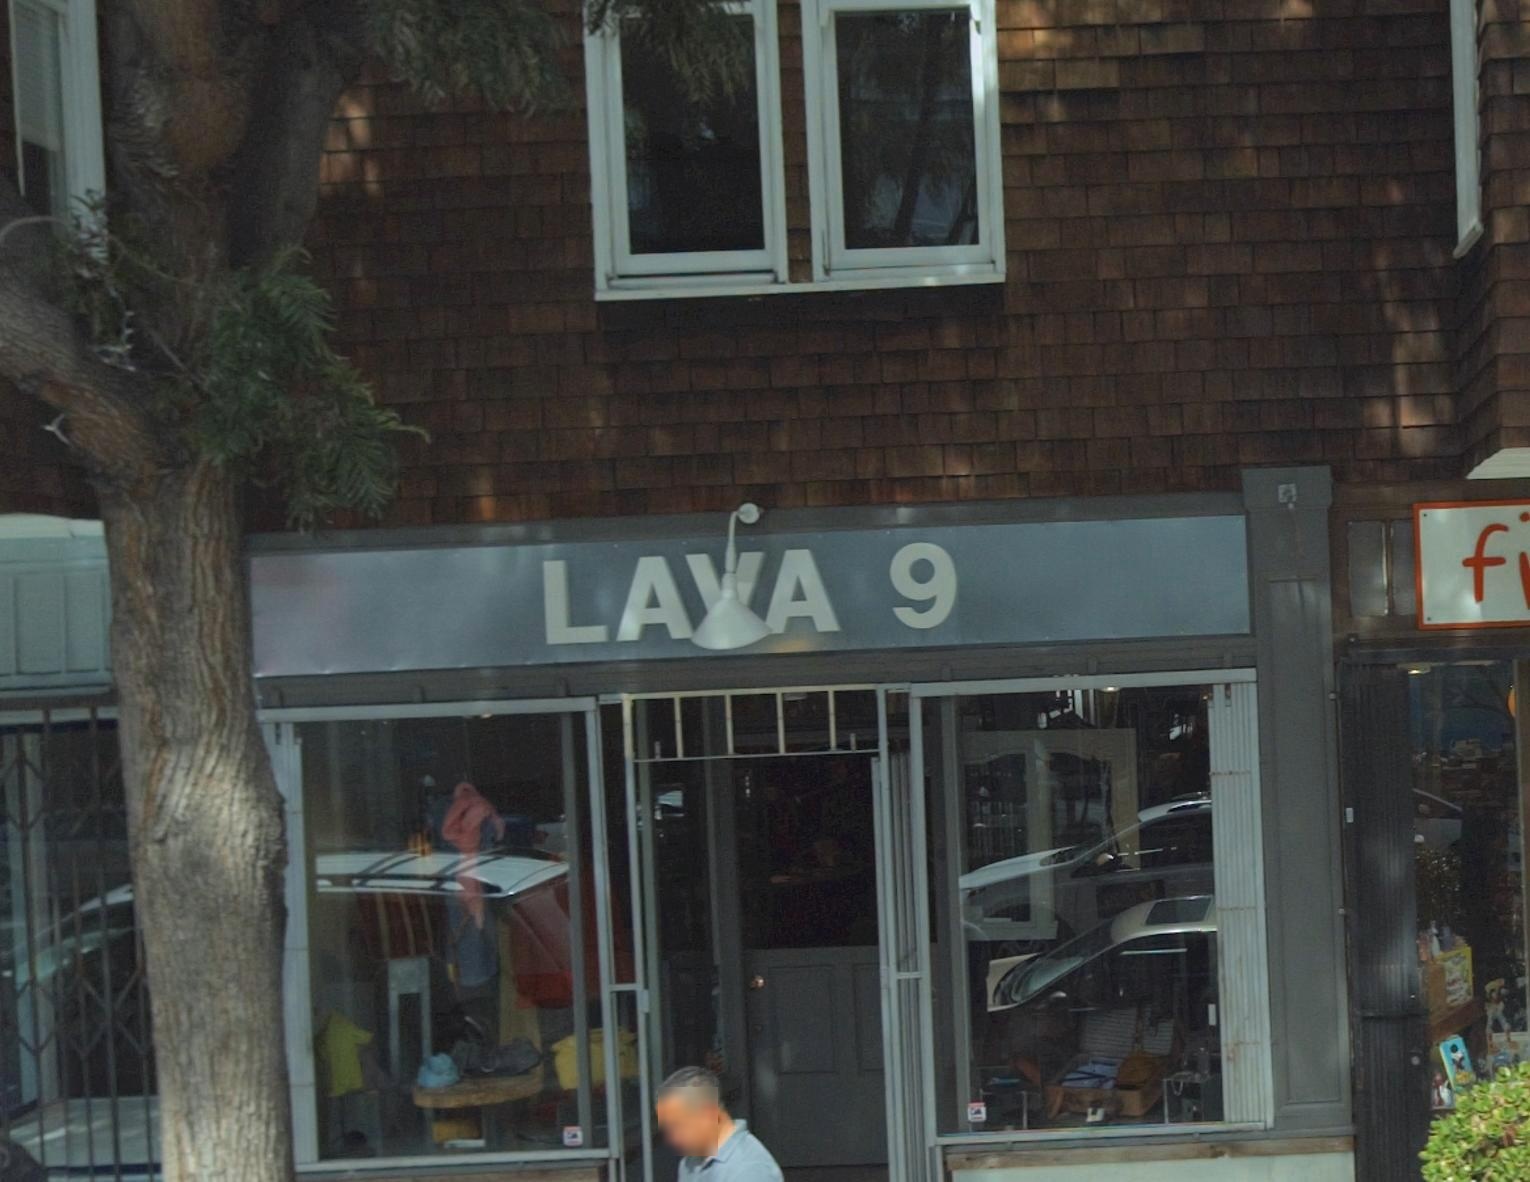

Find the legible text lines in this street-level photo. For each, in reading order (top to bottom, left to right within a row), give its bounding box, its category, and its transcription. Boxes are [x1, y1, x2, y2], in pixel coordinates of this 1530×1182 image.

[537, 538, 963, 648] BusinessName: LA*A 9
[1453, 516, 1520, 613] BusinessName: f